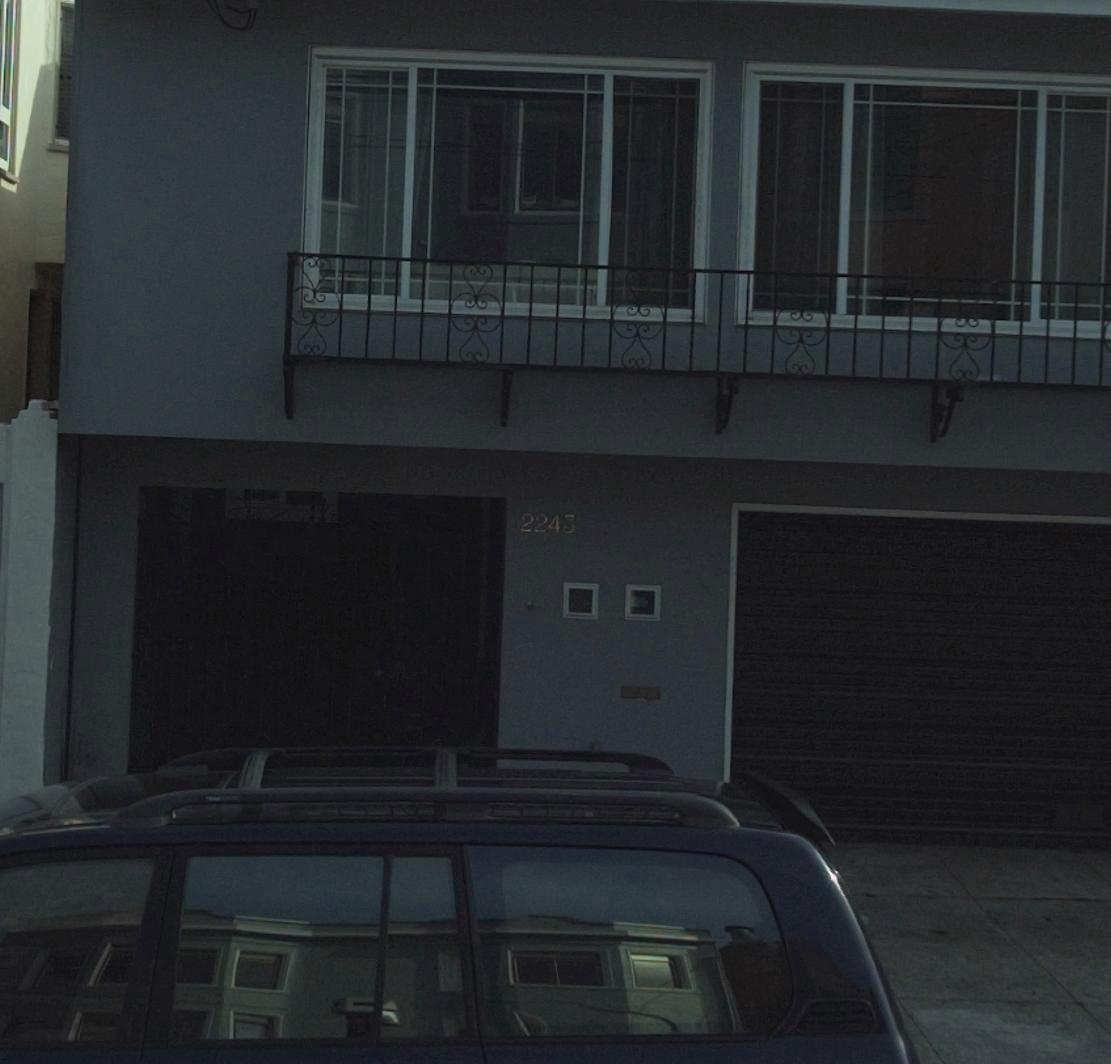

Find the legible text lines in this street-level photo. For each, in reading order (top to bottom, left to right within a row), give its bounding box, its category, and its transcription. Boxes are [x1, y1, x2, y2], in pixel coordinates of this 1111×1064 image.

[518, 511, 577, 537] StreetNumber: 2243